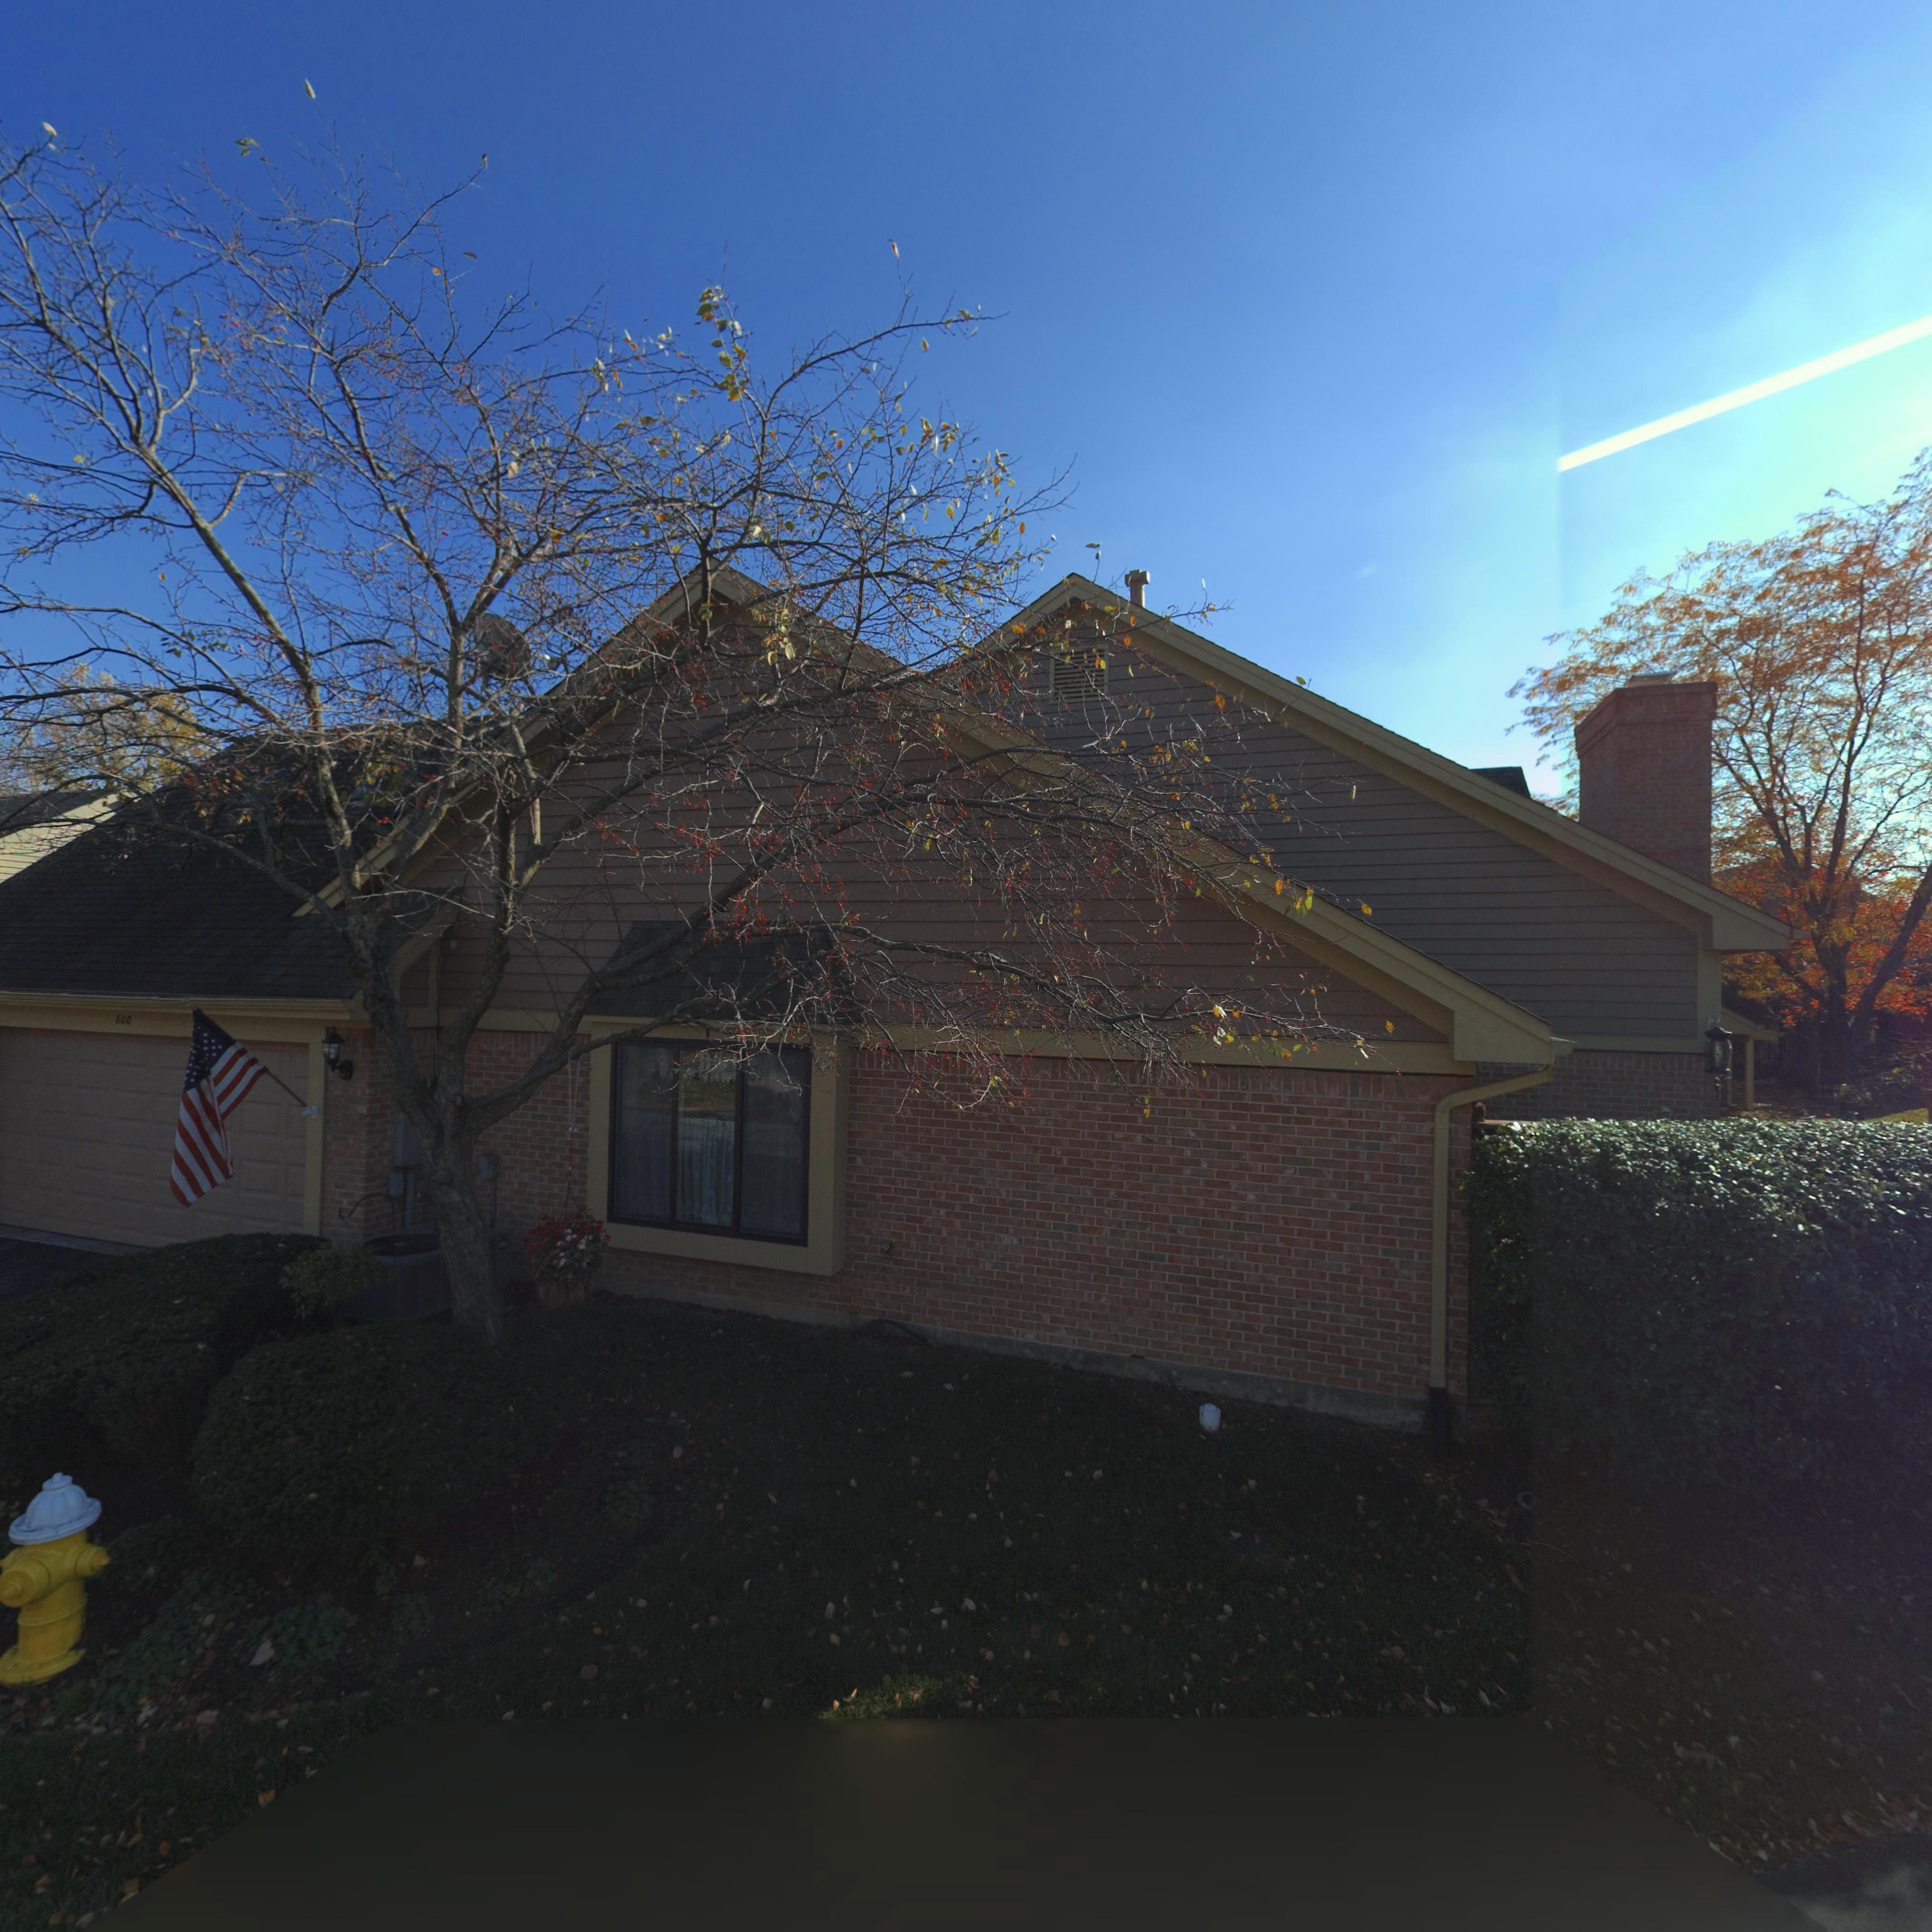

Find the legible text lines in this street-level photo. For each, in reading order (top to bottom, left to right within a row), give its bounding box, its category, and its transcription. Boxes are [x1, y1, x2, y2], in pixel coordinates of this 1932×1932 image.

[114, 1014, 133, 1026] StreetNumber: 600